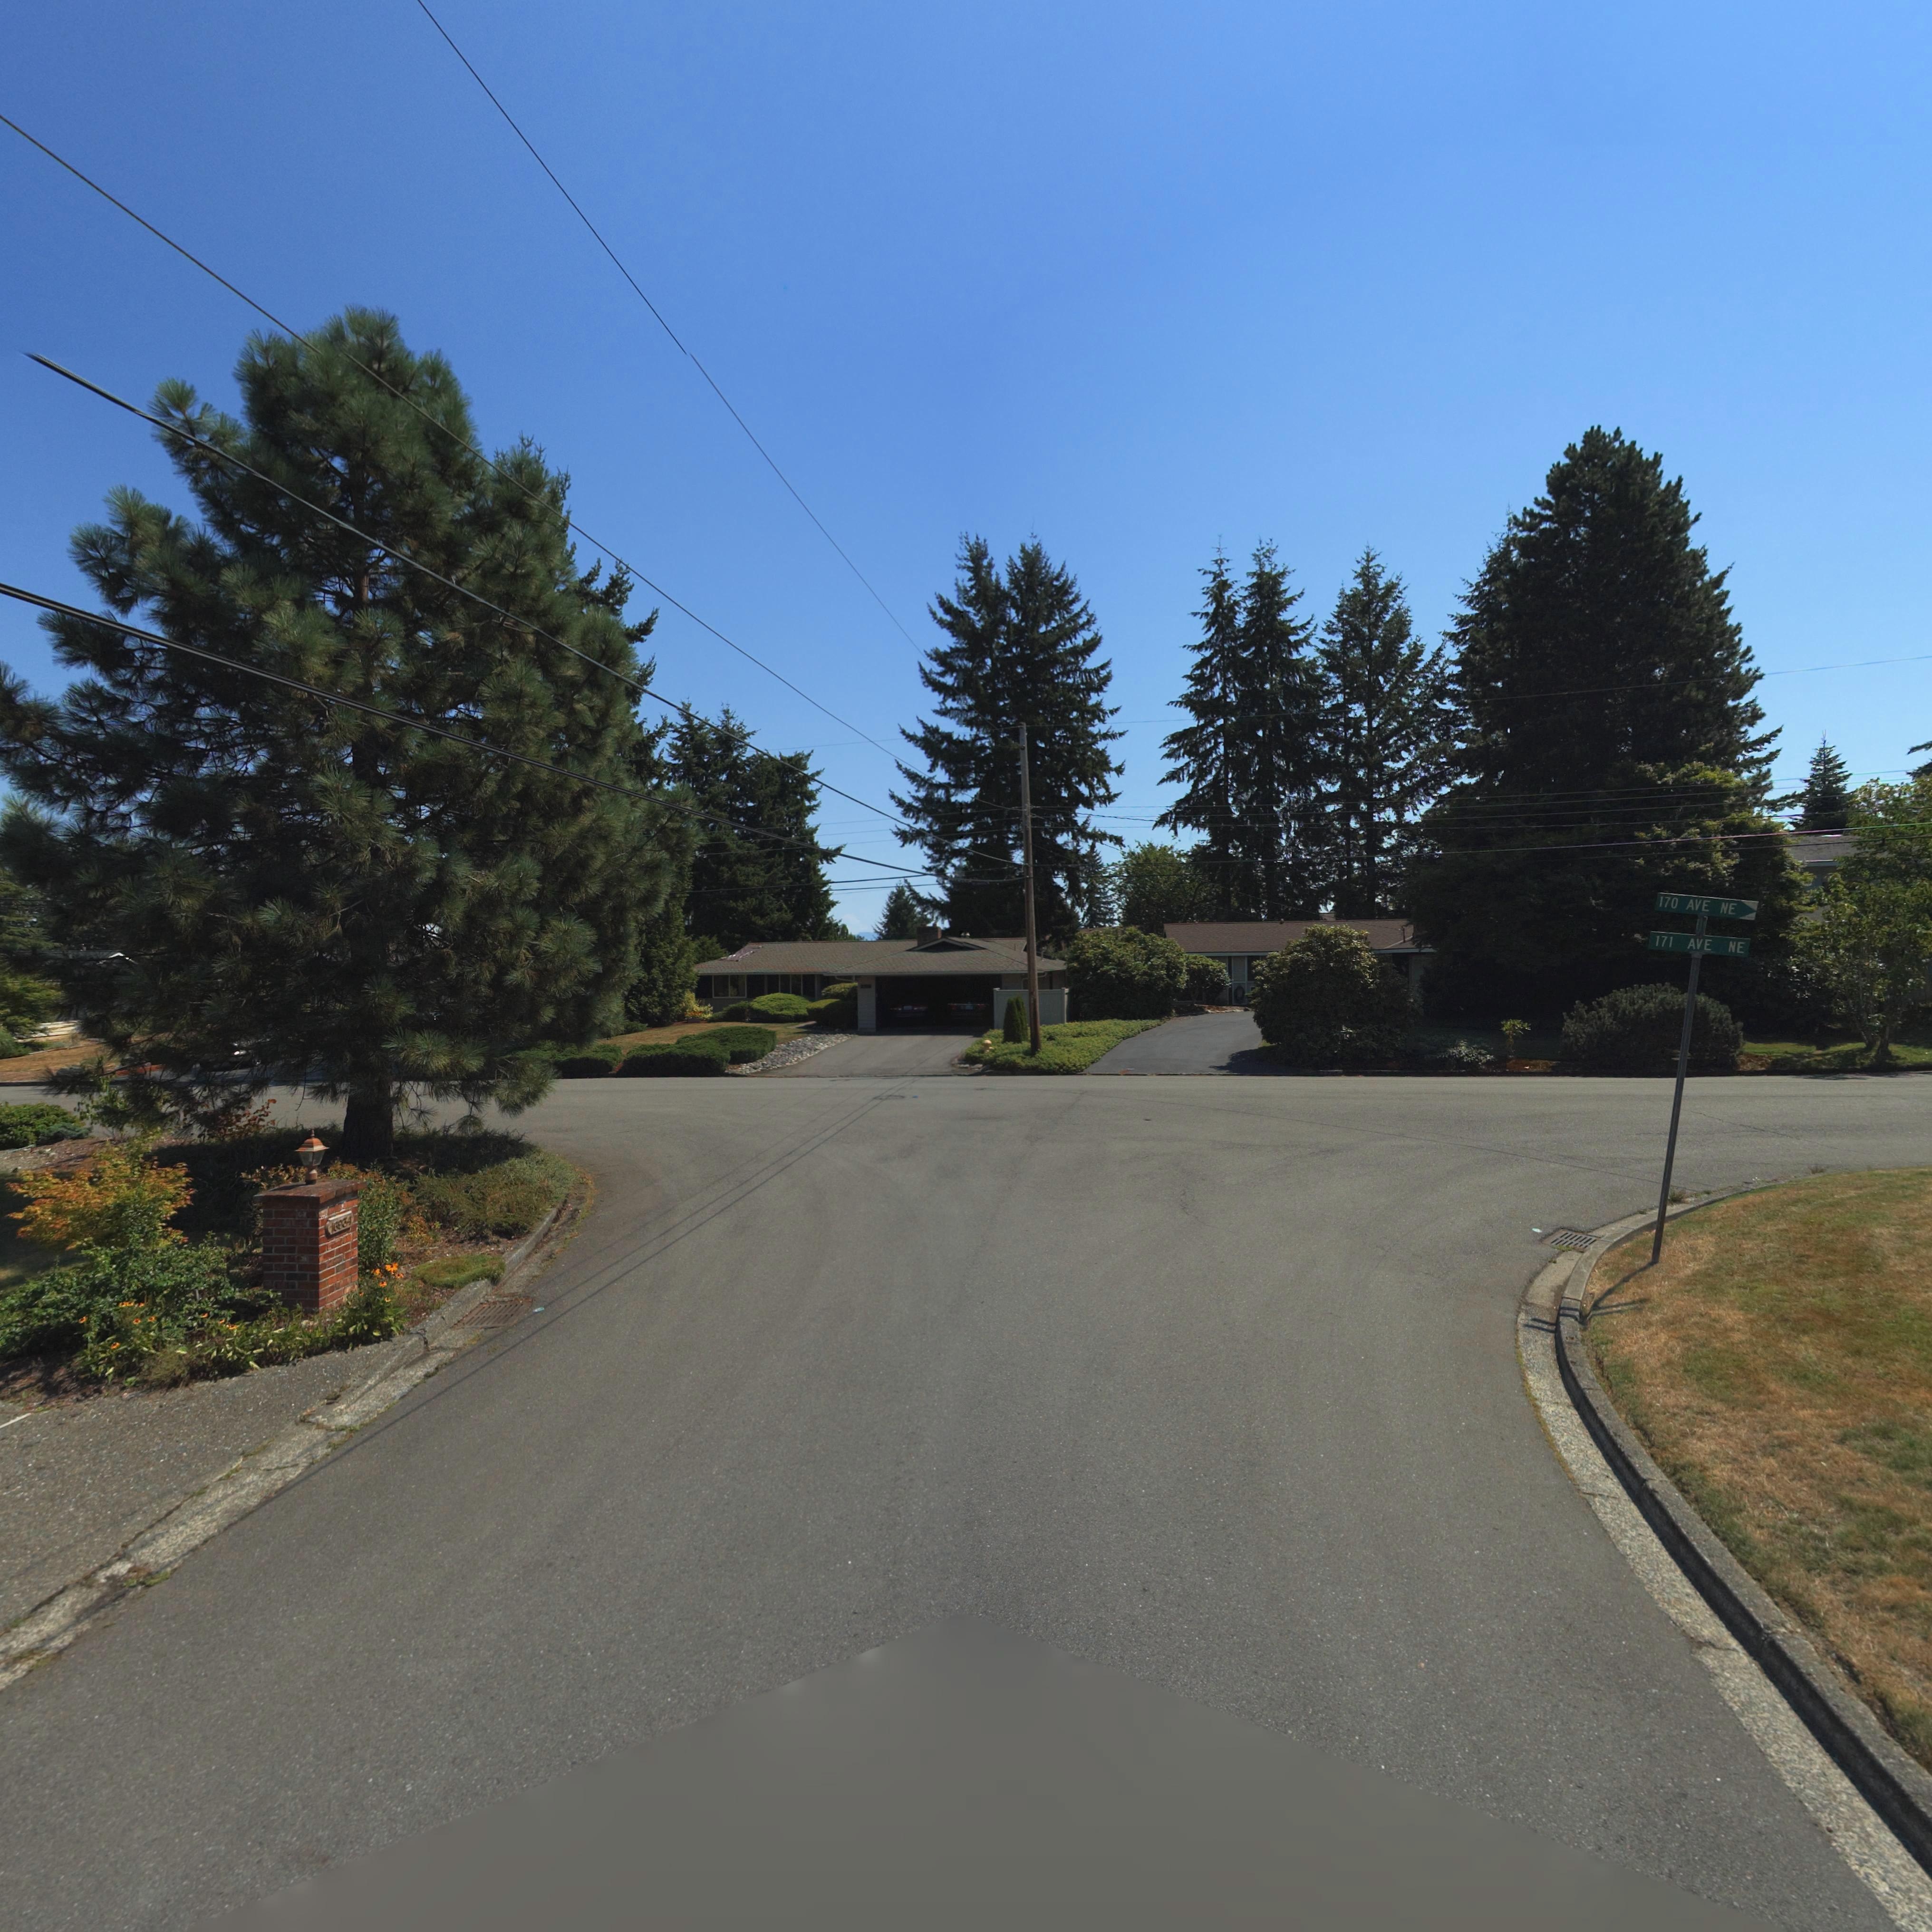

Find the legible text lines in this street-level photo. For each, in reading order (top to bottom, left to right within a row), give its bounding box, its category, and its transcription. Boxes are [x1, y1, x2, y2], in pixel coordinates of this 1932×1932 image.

[1658, 895, 1737, 916] StreetName: 170 AVE NE
[1654, 935, 1744, 953] StreetName: 171 AVE NE
[329, 1215, 352, 1233] StreetNumber: 1**34